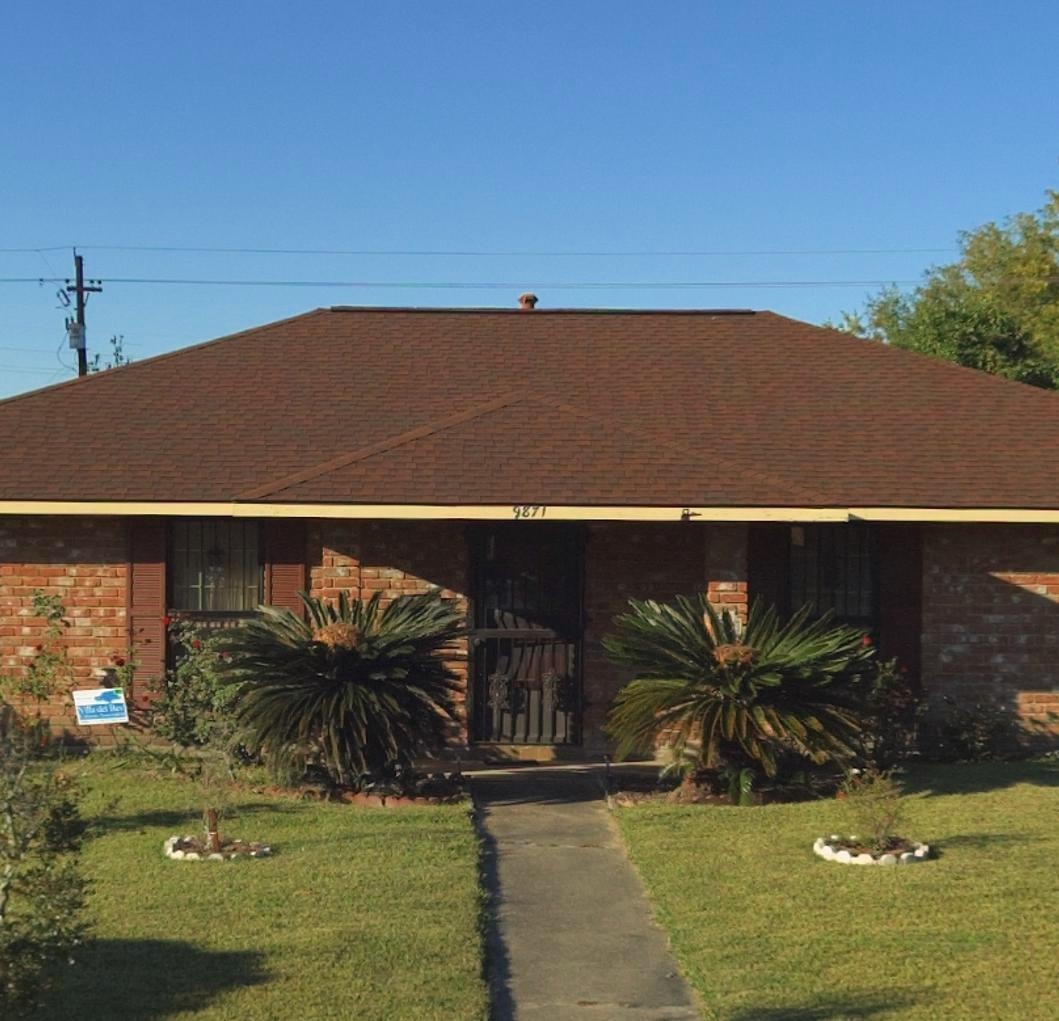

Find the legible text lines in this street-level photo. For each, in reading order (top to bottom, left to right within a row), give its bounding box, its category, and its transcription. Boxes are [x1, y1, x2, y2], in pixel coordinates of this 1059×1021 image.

[513, 504, 548, 519] StreetNumber: 9871